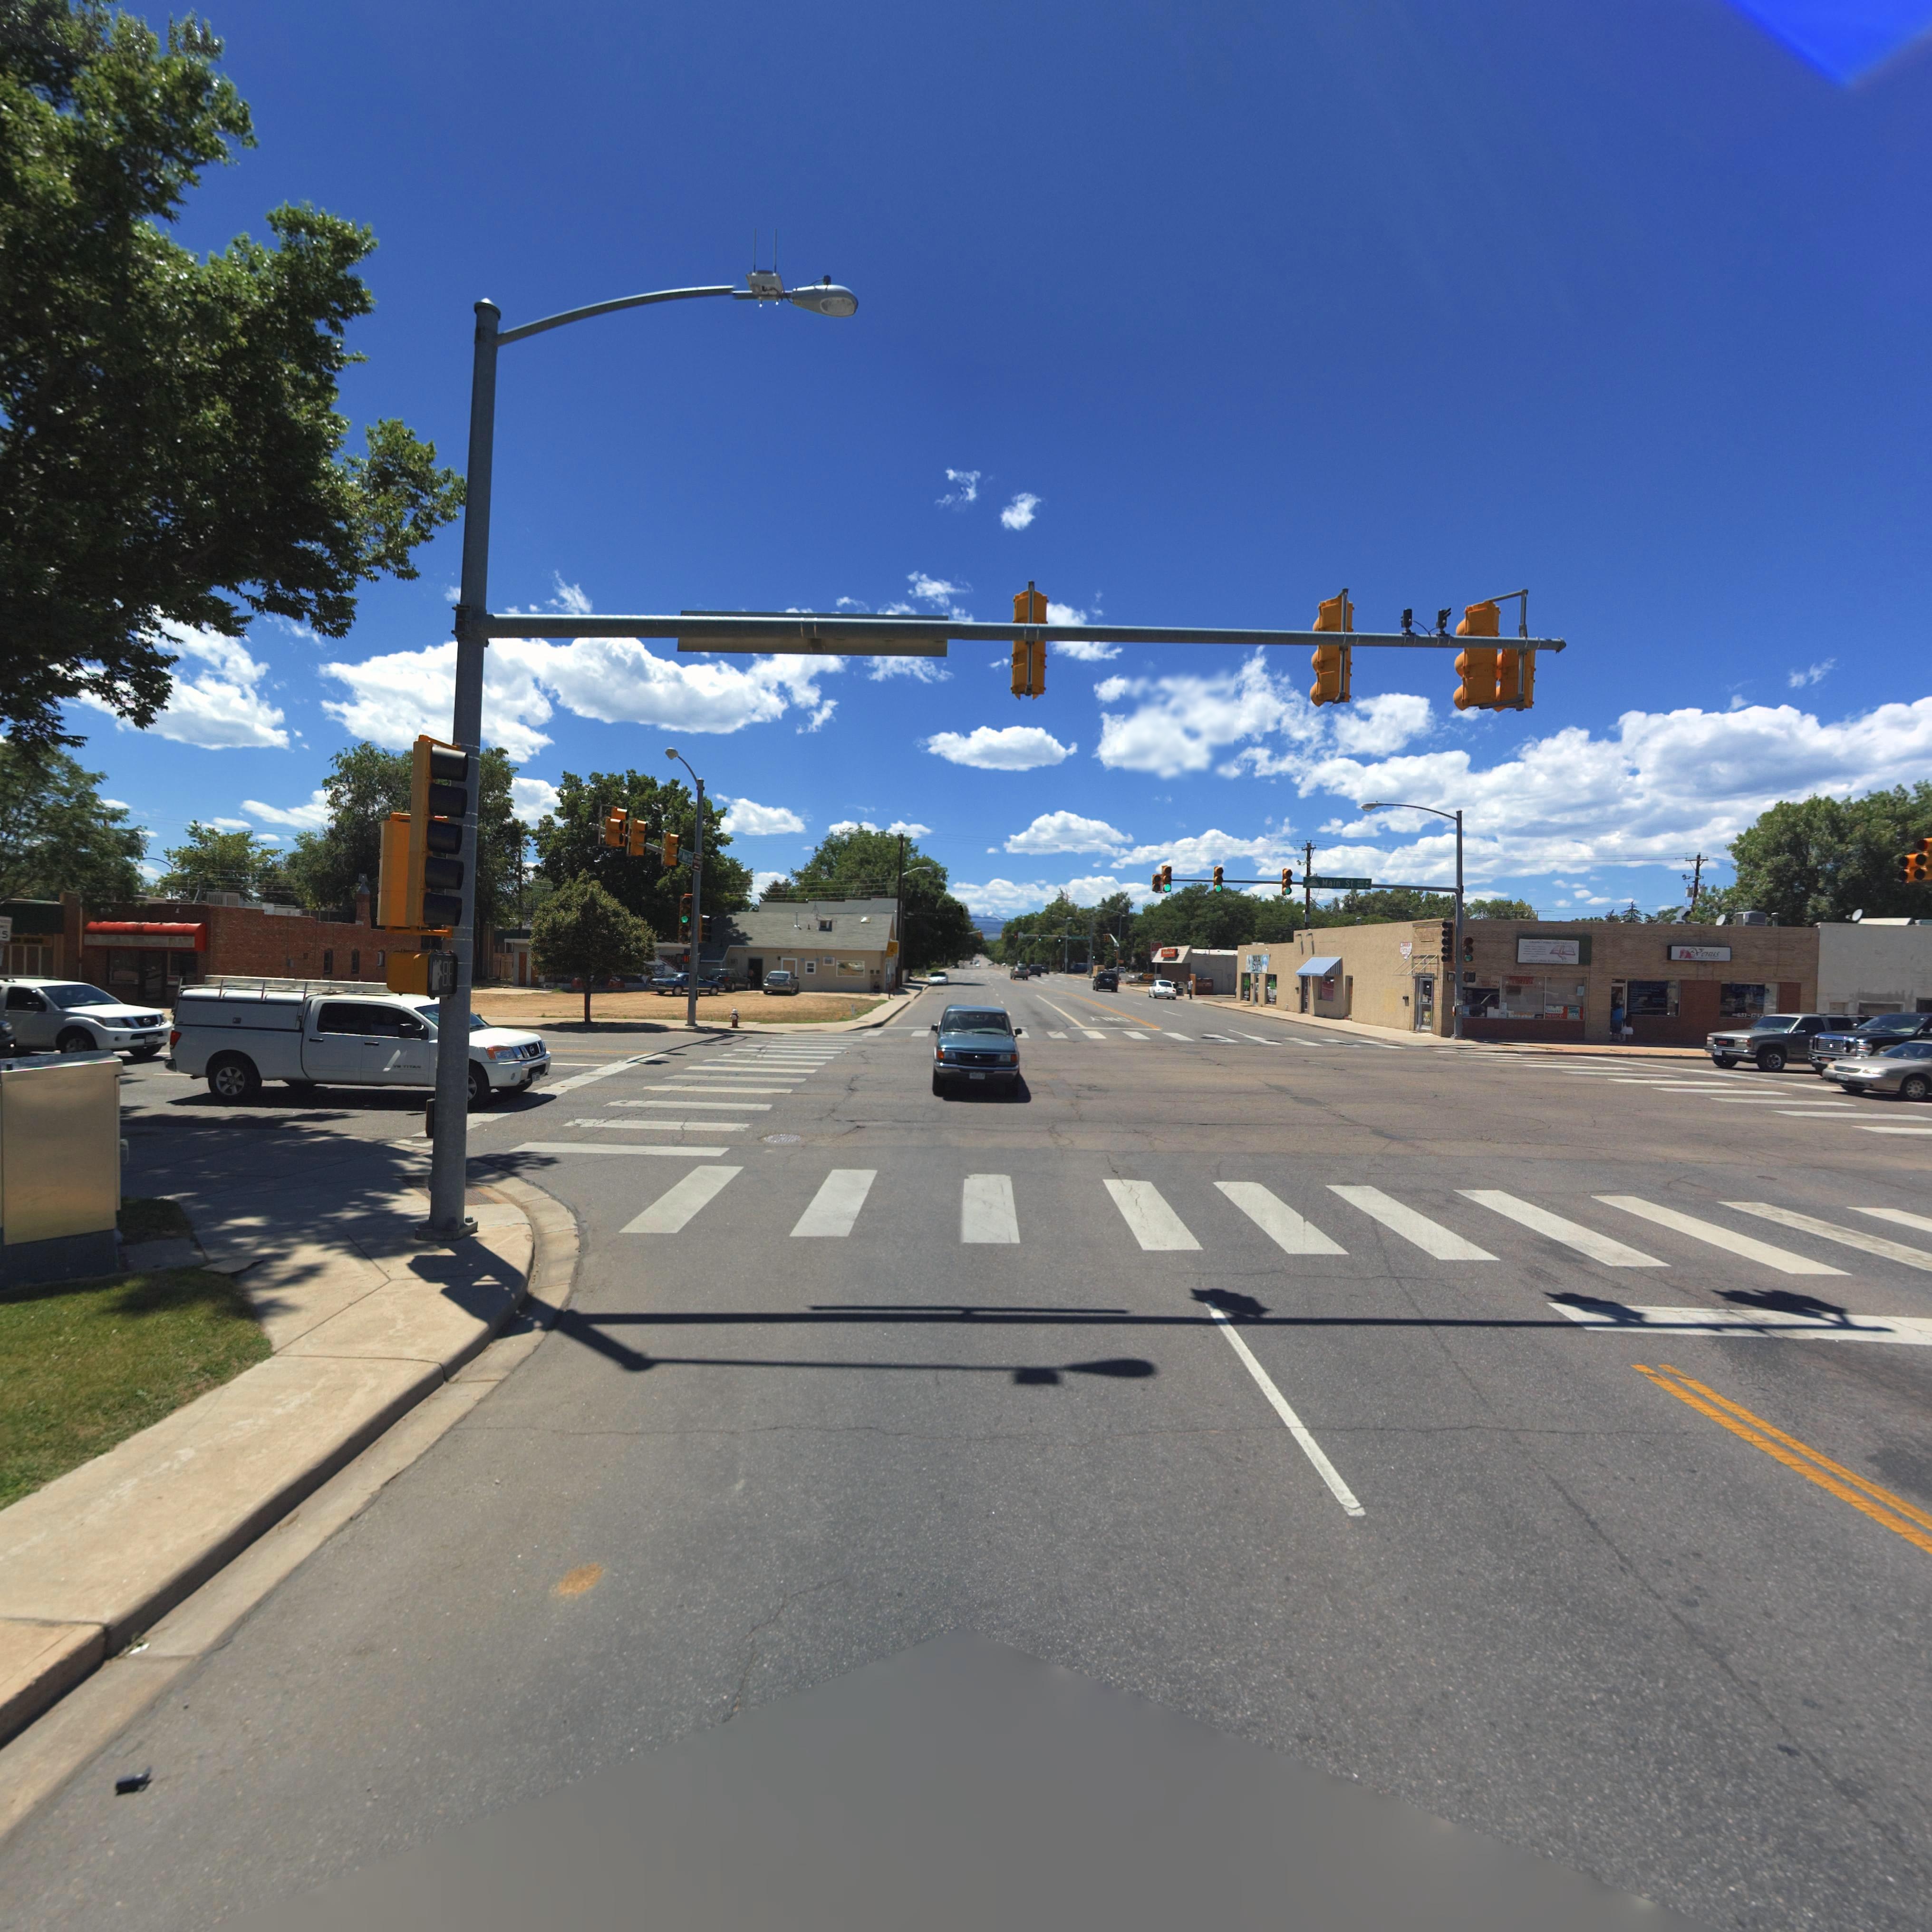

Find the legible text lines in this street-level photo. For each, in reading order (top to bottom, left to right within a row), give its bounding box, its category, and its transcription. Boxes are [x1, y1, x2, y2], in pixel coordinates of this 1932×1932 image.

[681, 850, 688, 861] StreetName: A*e
[1322, 878, 1353, 888] StreetName: Main St
[1357, 883, 1364, 888] StreetNumberRange: 900
[1357, 879, 1364, 883] StreetNumberRange: 6**
[23, 937, 43, 944] StreetName: MAIN
[1689, 947, 1720, 957] BusinessName: Venus